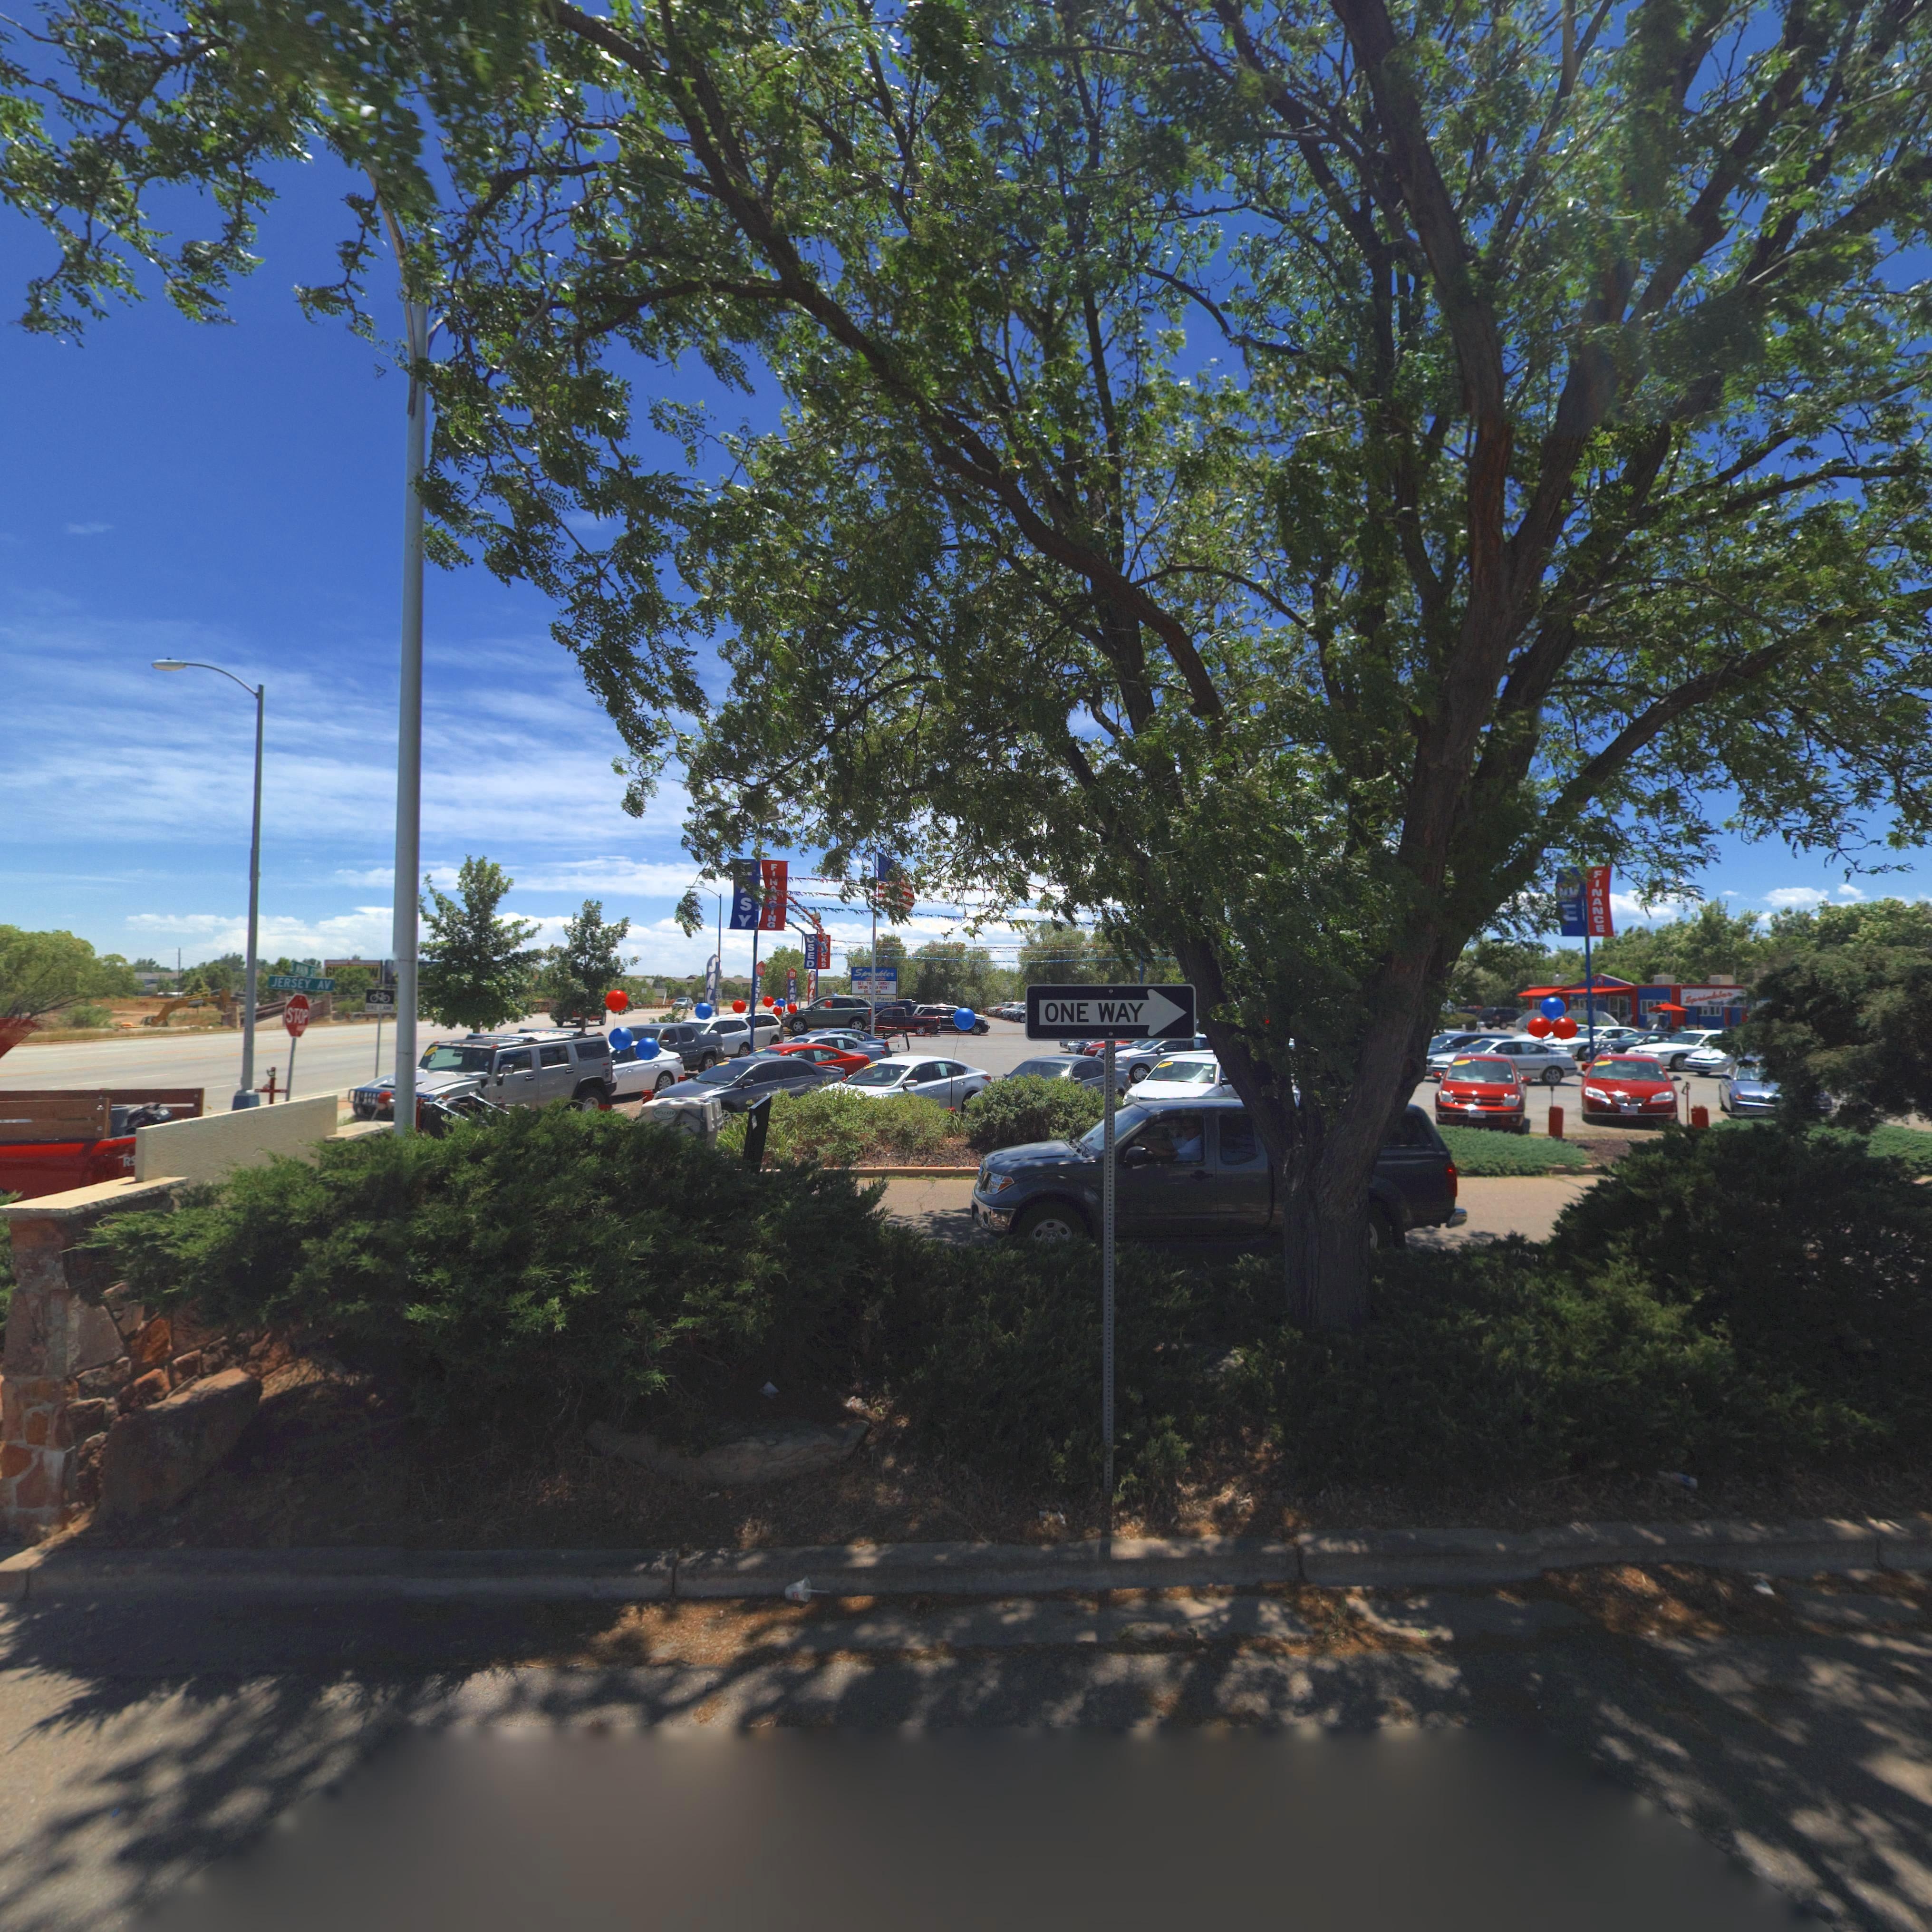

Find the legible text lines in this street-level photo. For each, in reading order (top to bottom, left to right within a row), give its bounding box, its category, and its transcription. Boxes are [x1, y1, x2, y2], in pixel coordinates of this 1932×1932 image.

[289, 961, 317, 977] StreetName: S *** S*
[852, 968, 894, 978] BusinessName: Spr**kler
[270, 976, 332, 990] StreetName: JERSEY AV
[1685, 994, 1698, 1005] BusinessName: Sp